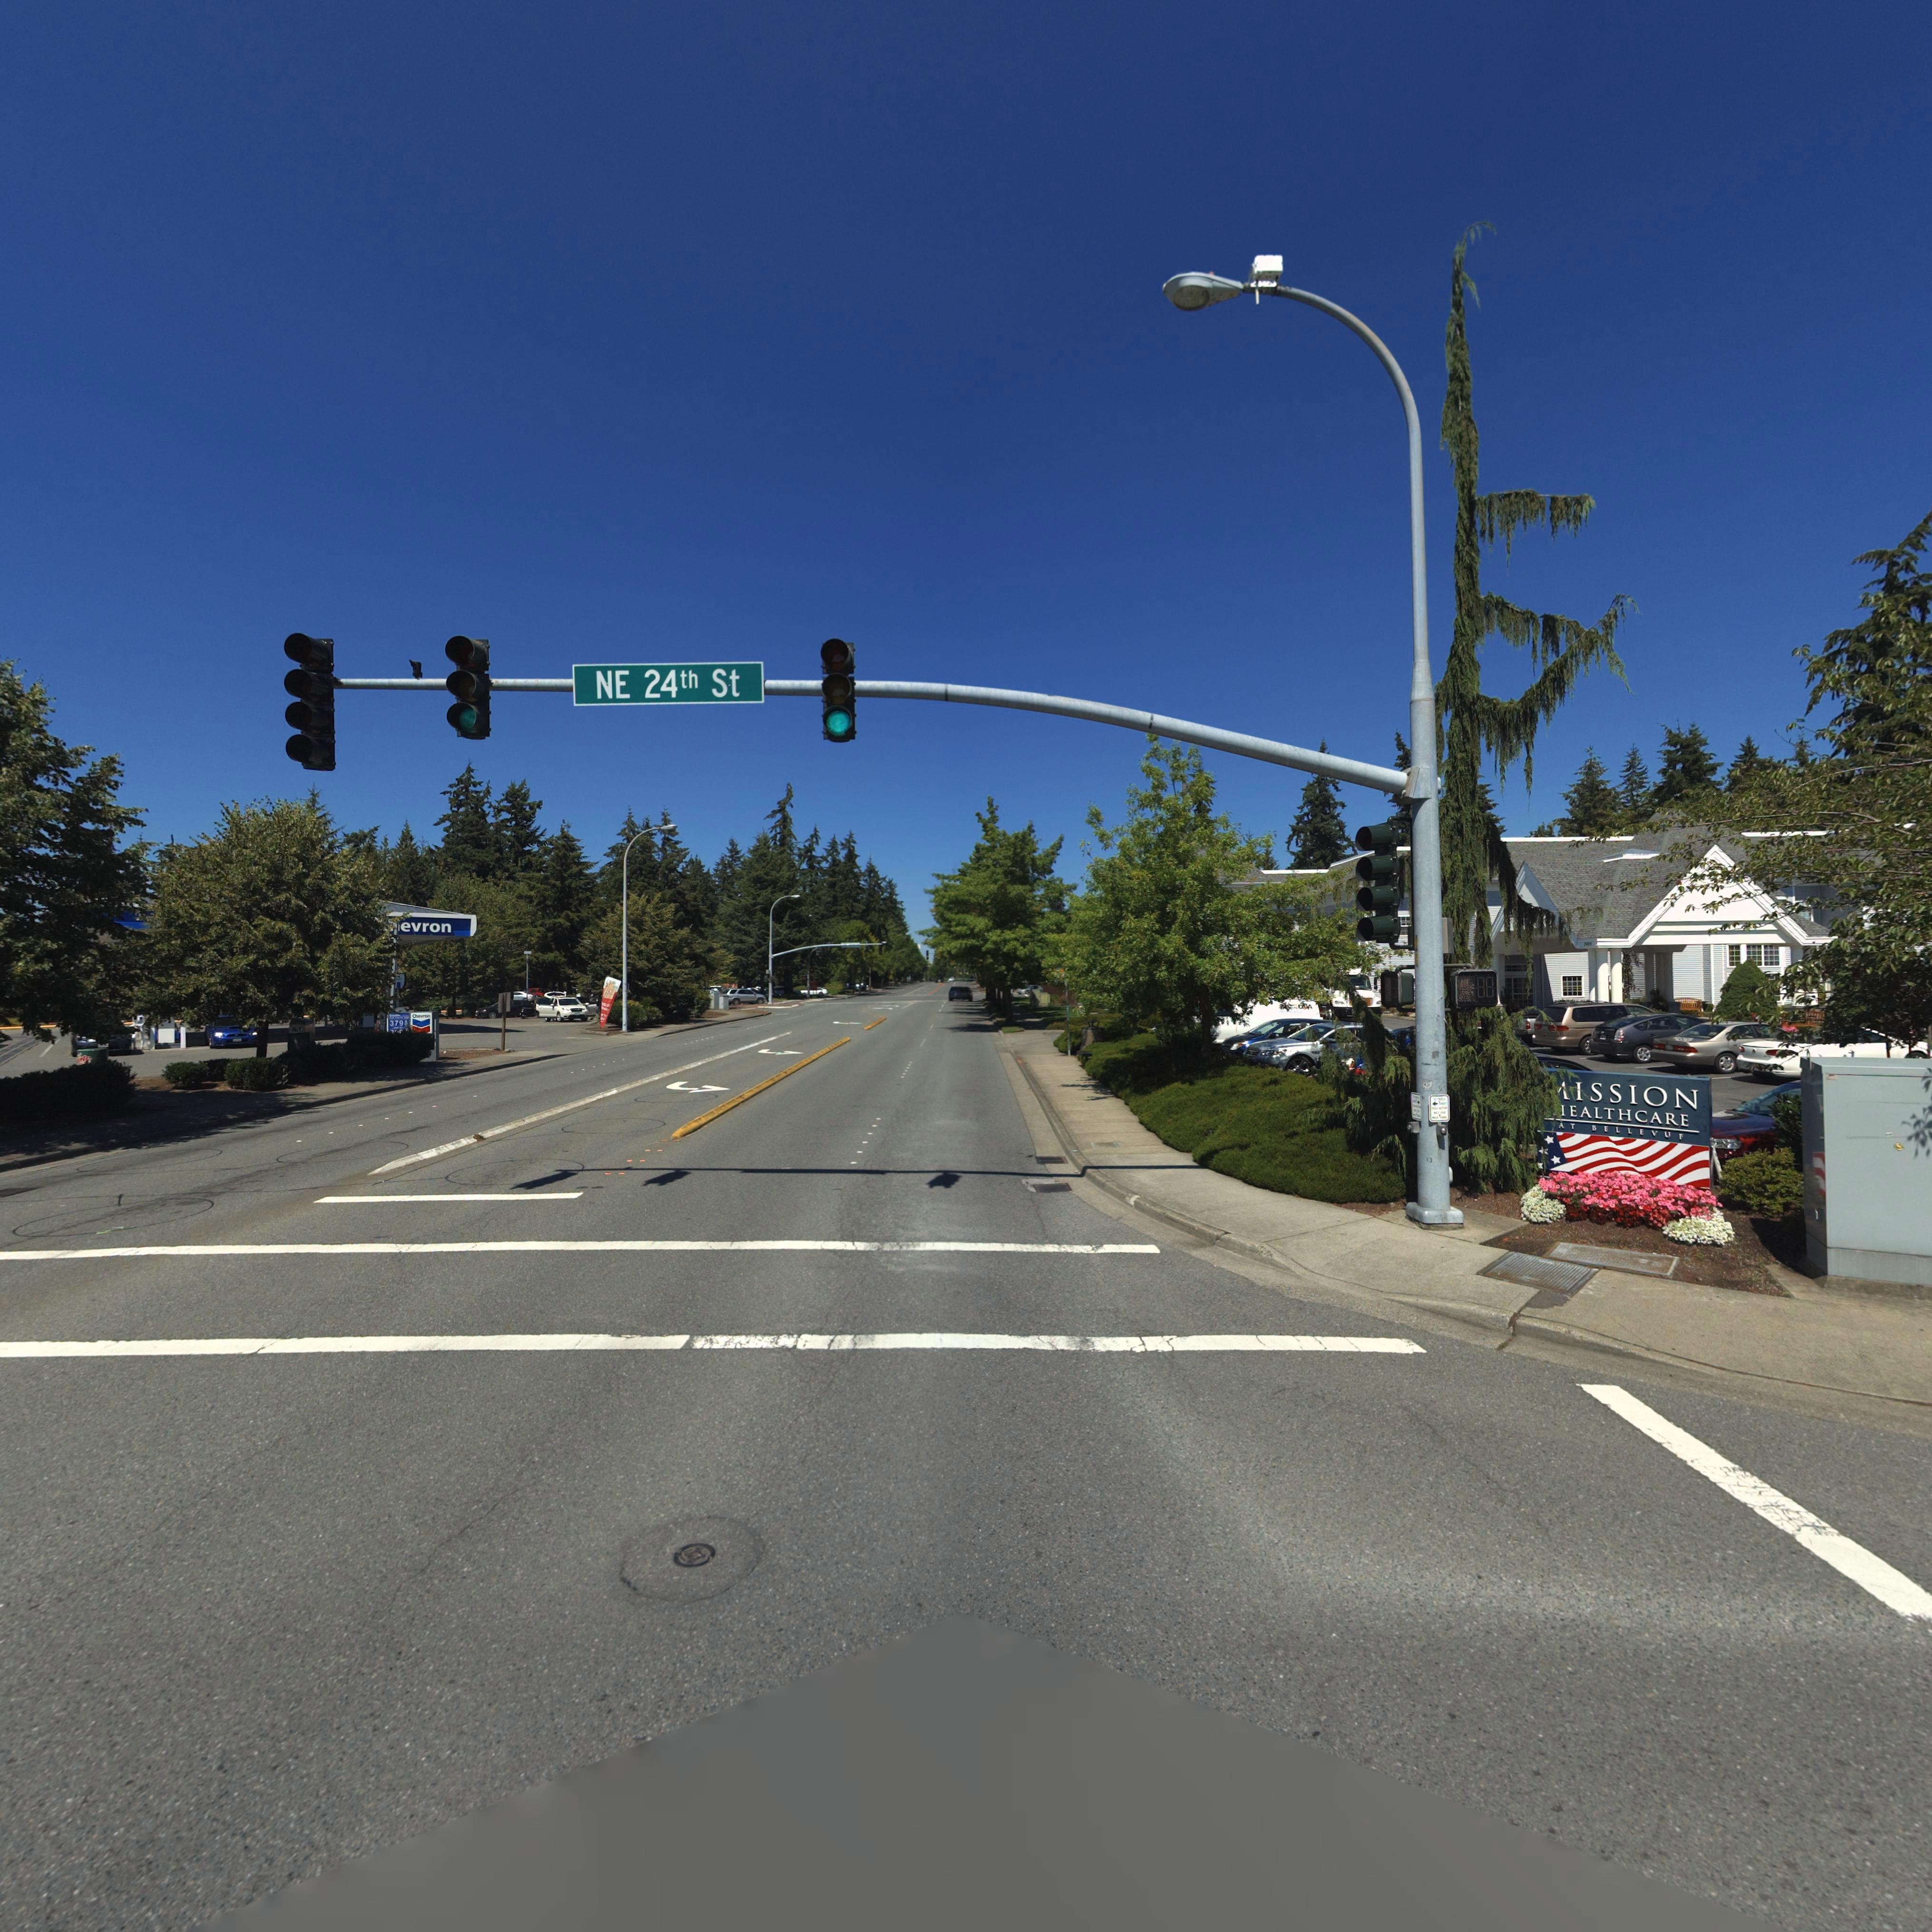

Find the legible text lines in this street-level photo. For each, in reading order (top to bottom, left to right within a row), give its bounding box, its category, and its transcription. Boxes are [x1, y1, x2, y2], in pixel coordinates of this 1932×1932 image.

[596, 668, 741, 699] StreetName: NE 24th St
[400, 921, 453, 933] BusinessName: evron
[1583, 941, 1592, 946] None: 2**4
[412, 1014, 431, 1018] BusinessName: Chevron
[1549, 1079, 1699, 1111] BusinessName: *ISSION
[1559, 1104, 1690, 1127] BusinessName: *EALTHCARE